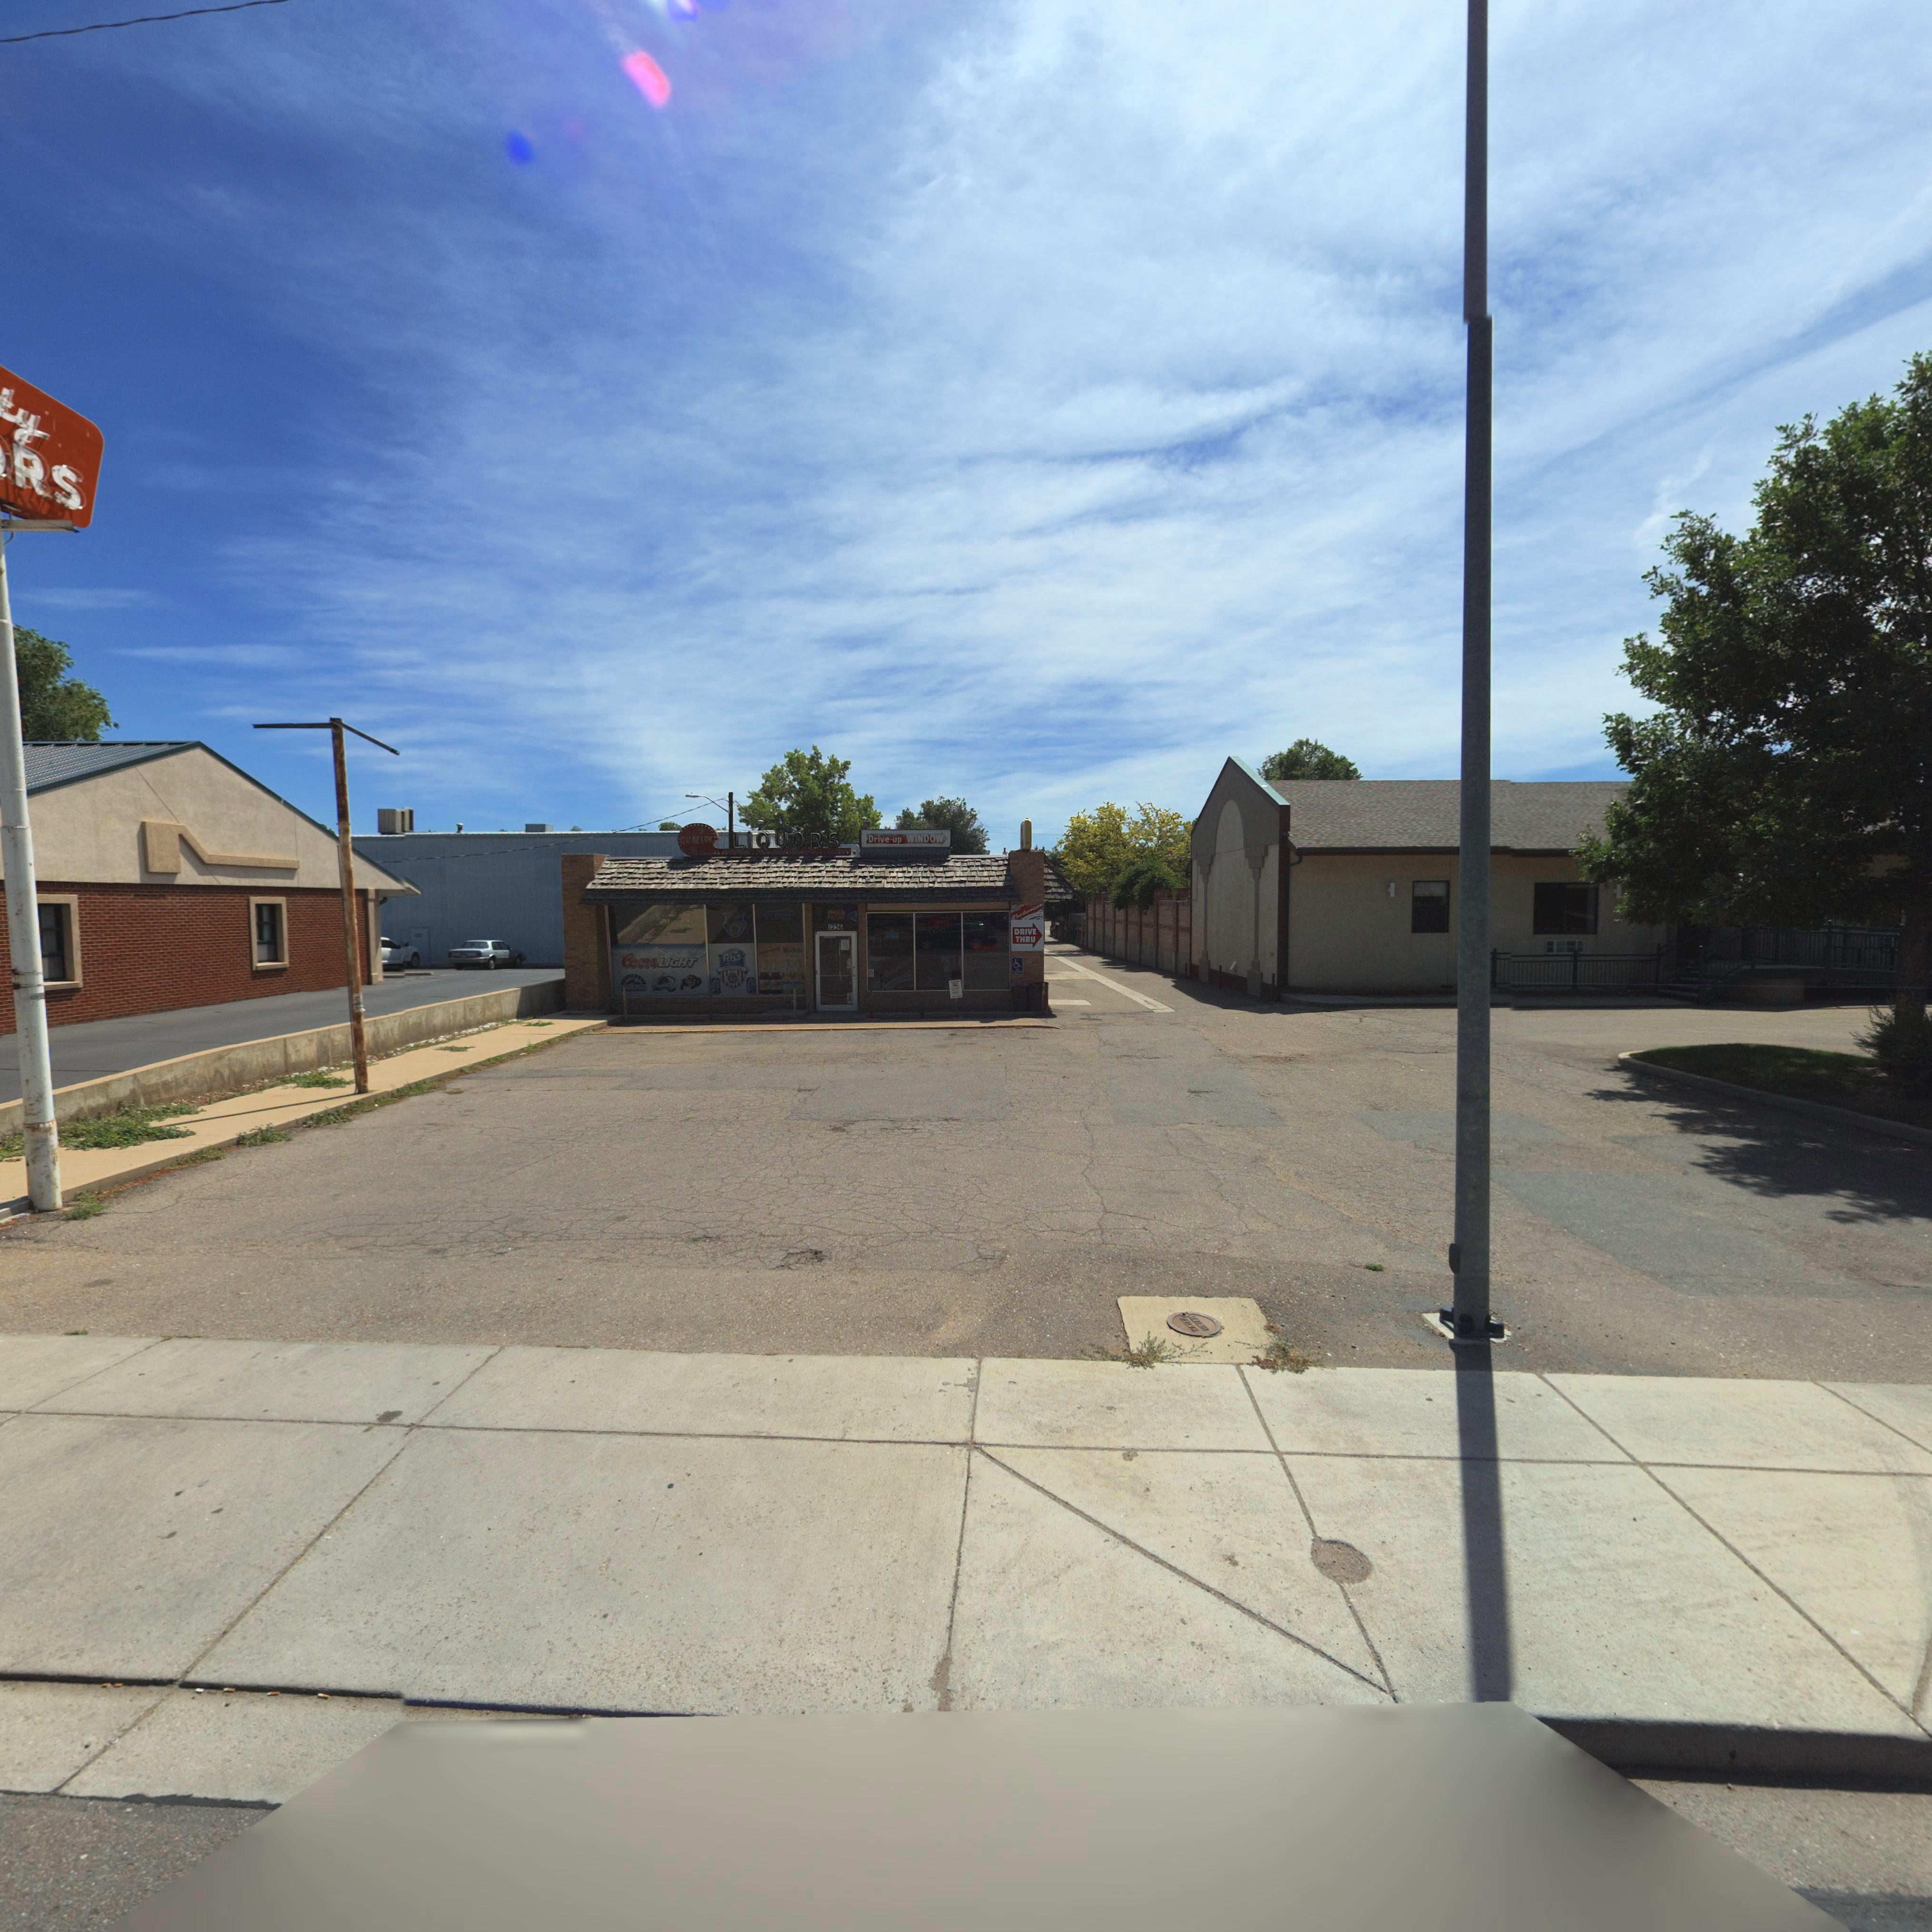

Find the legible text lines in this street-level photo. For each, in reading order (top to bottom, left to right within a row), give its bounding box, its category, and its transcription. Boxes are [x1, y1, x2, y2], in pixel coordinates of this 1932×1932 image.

[13, 406, 41, 446] BusinessName: y
[12, 442, 81, 510] BusinessName: RS
[680, 836, 712, 844] BusinessName: QUALITY
[733, 831, 840, 849] BusinessName: LIQUORS
[829, 924, 842, 929] StreetNumber: 1236